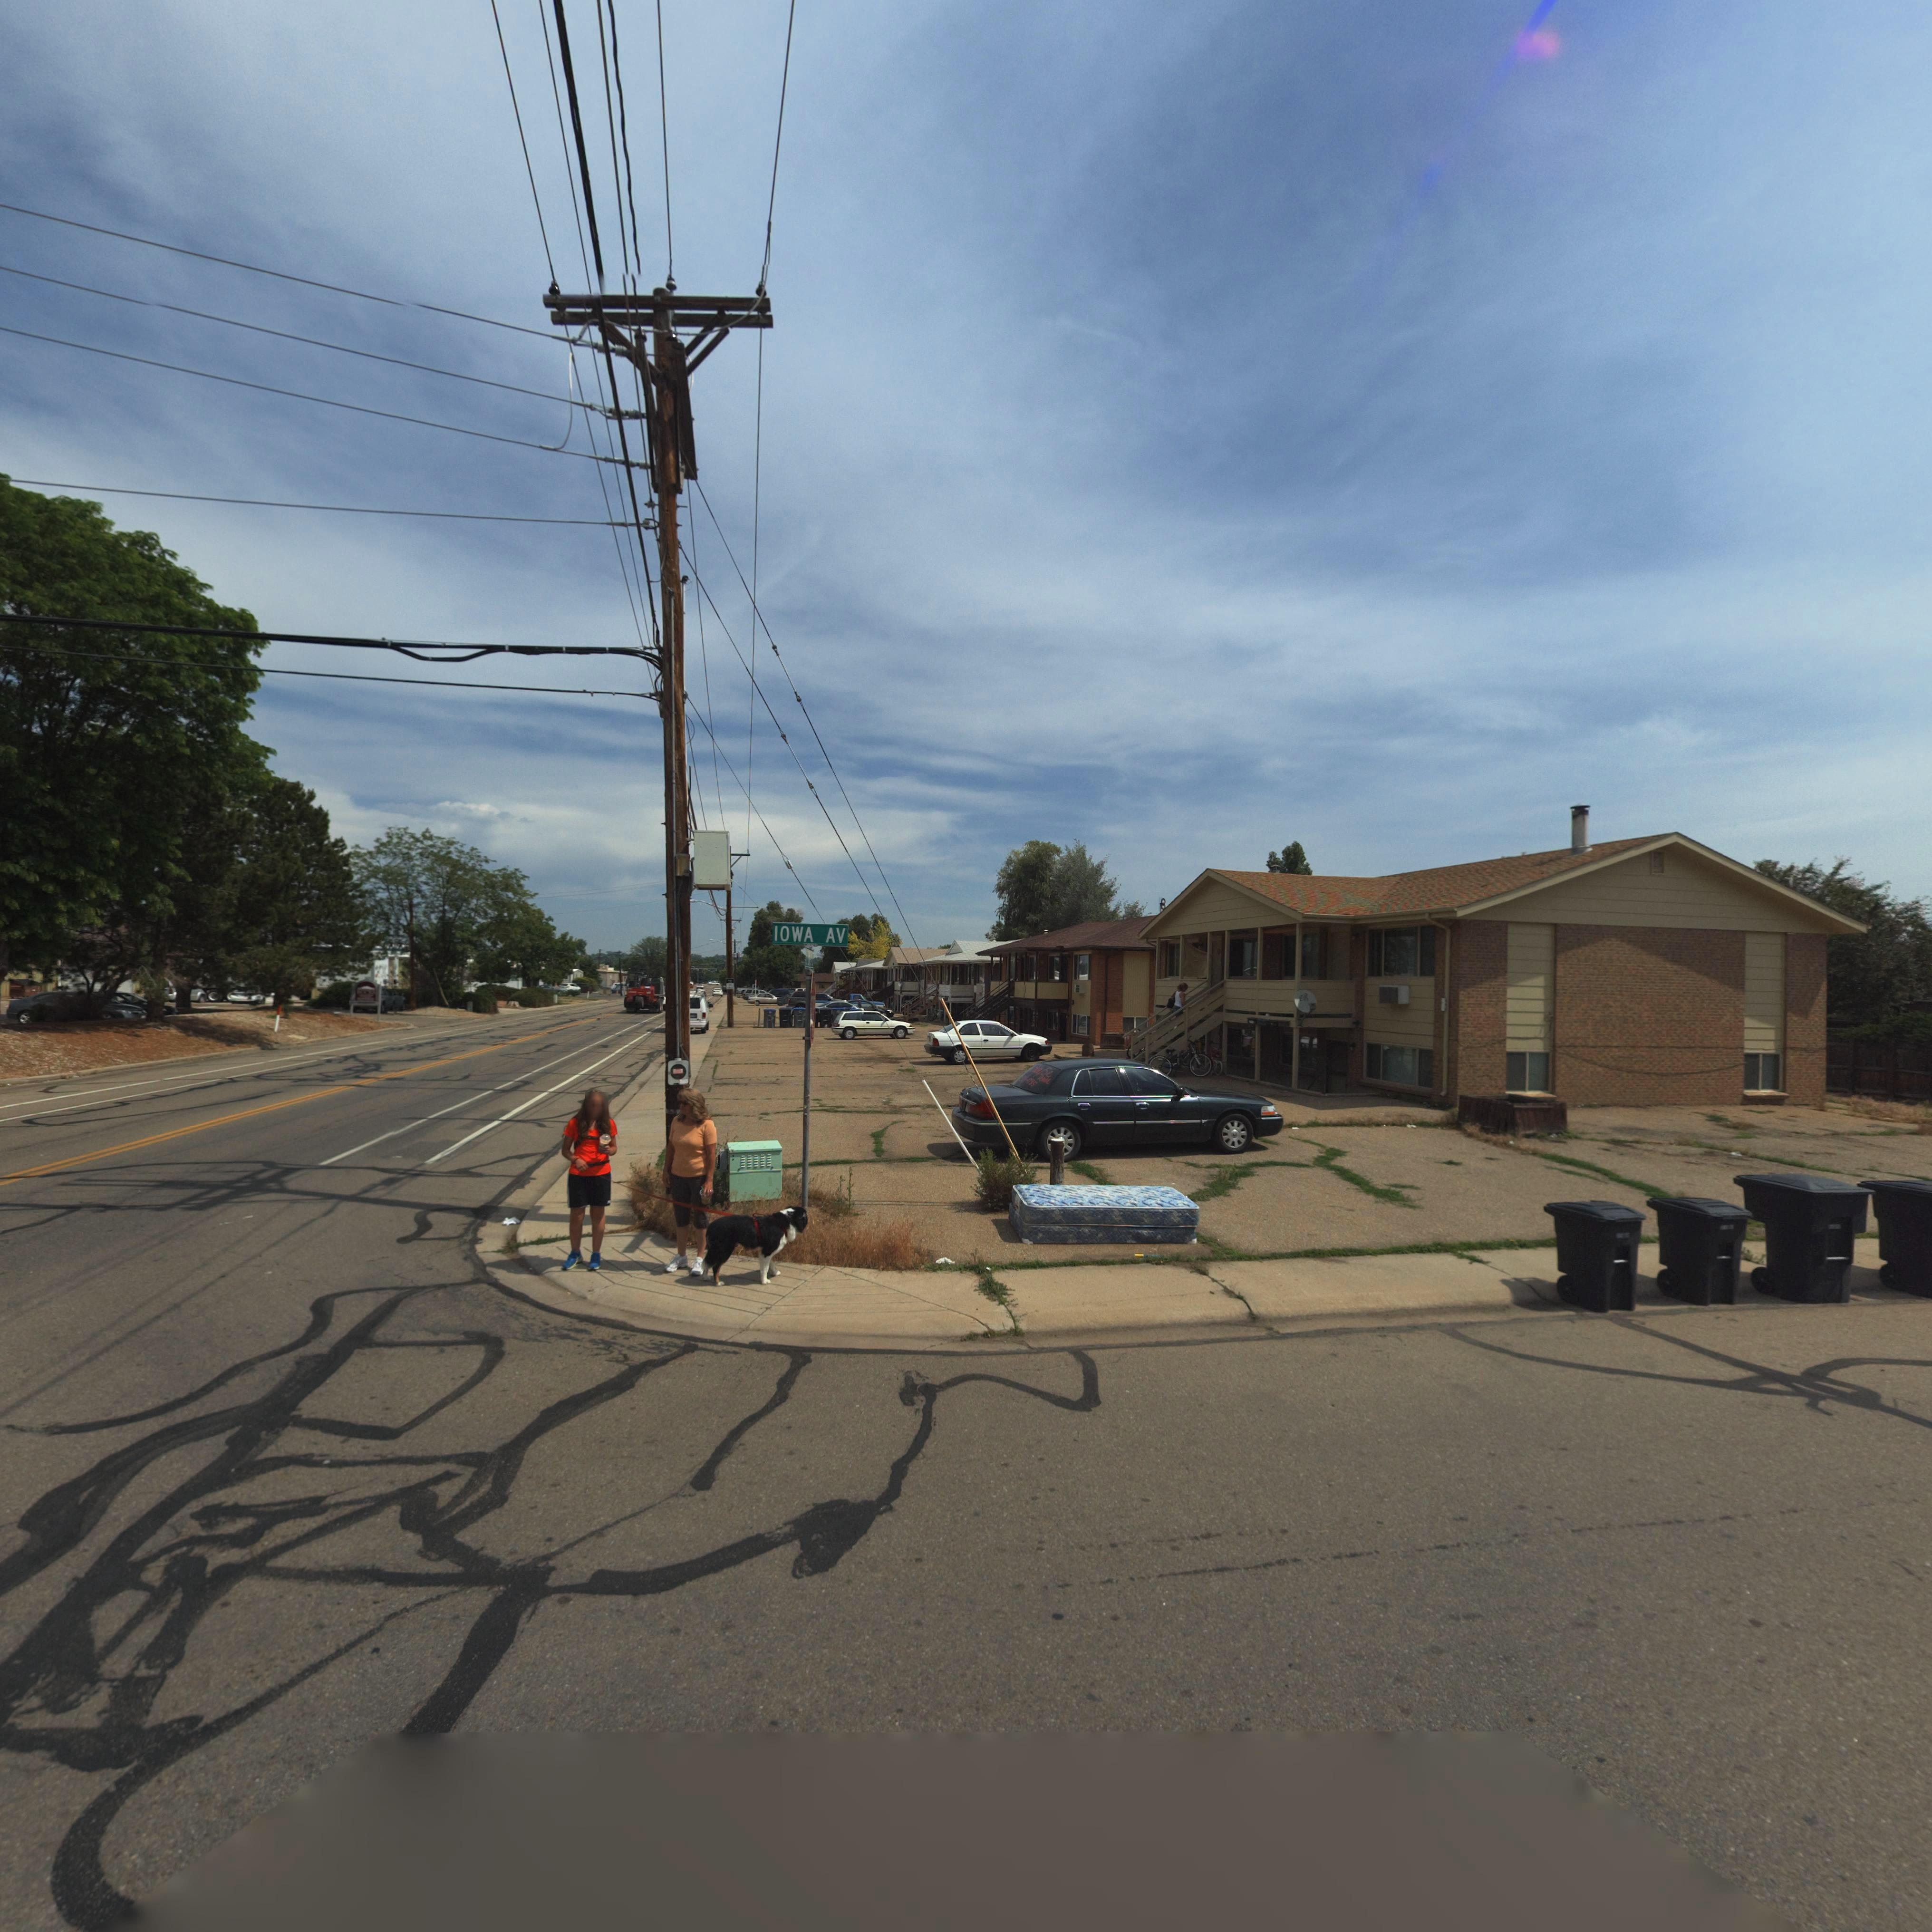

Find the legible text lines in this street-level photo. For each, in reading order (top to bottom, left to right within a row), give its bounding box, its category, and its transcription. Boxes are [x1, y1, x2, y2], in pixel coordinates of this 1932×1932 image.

[773, 924, 847, 944] StreetName: IOWA AV